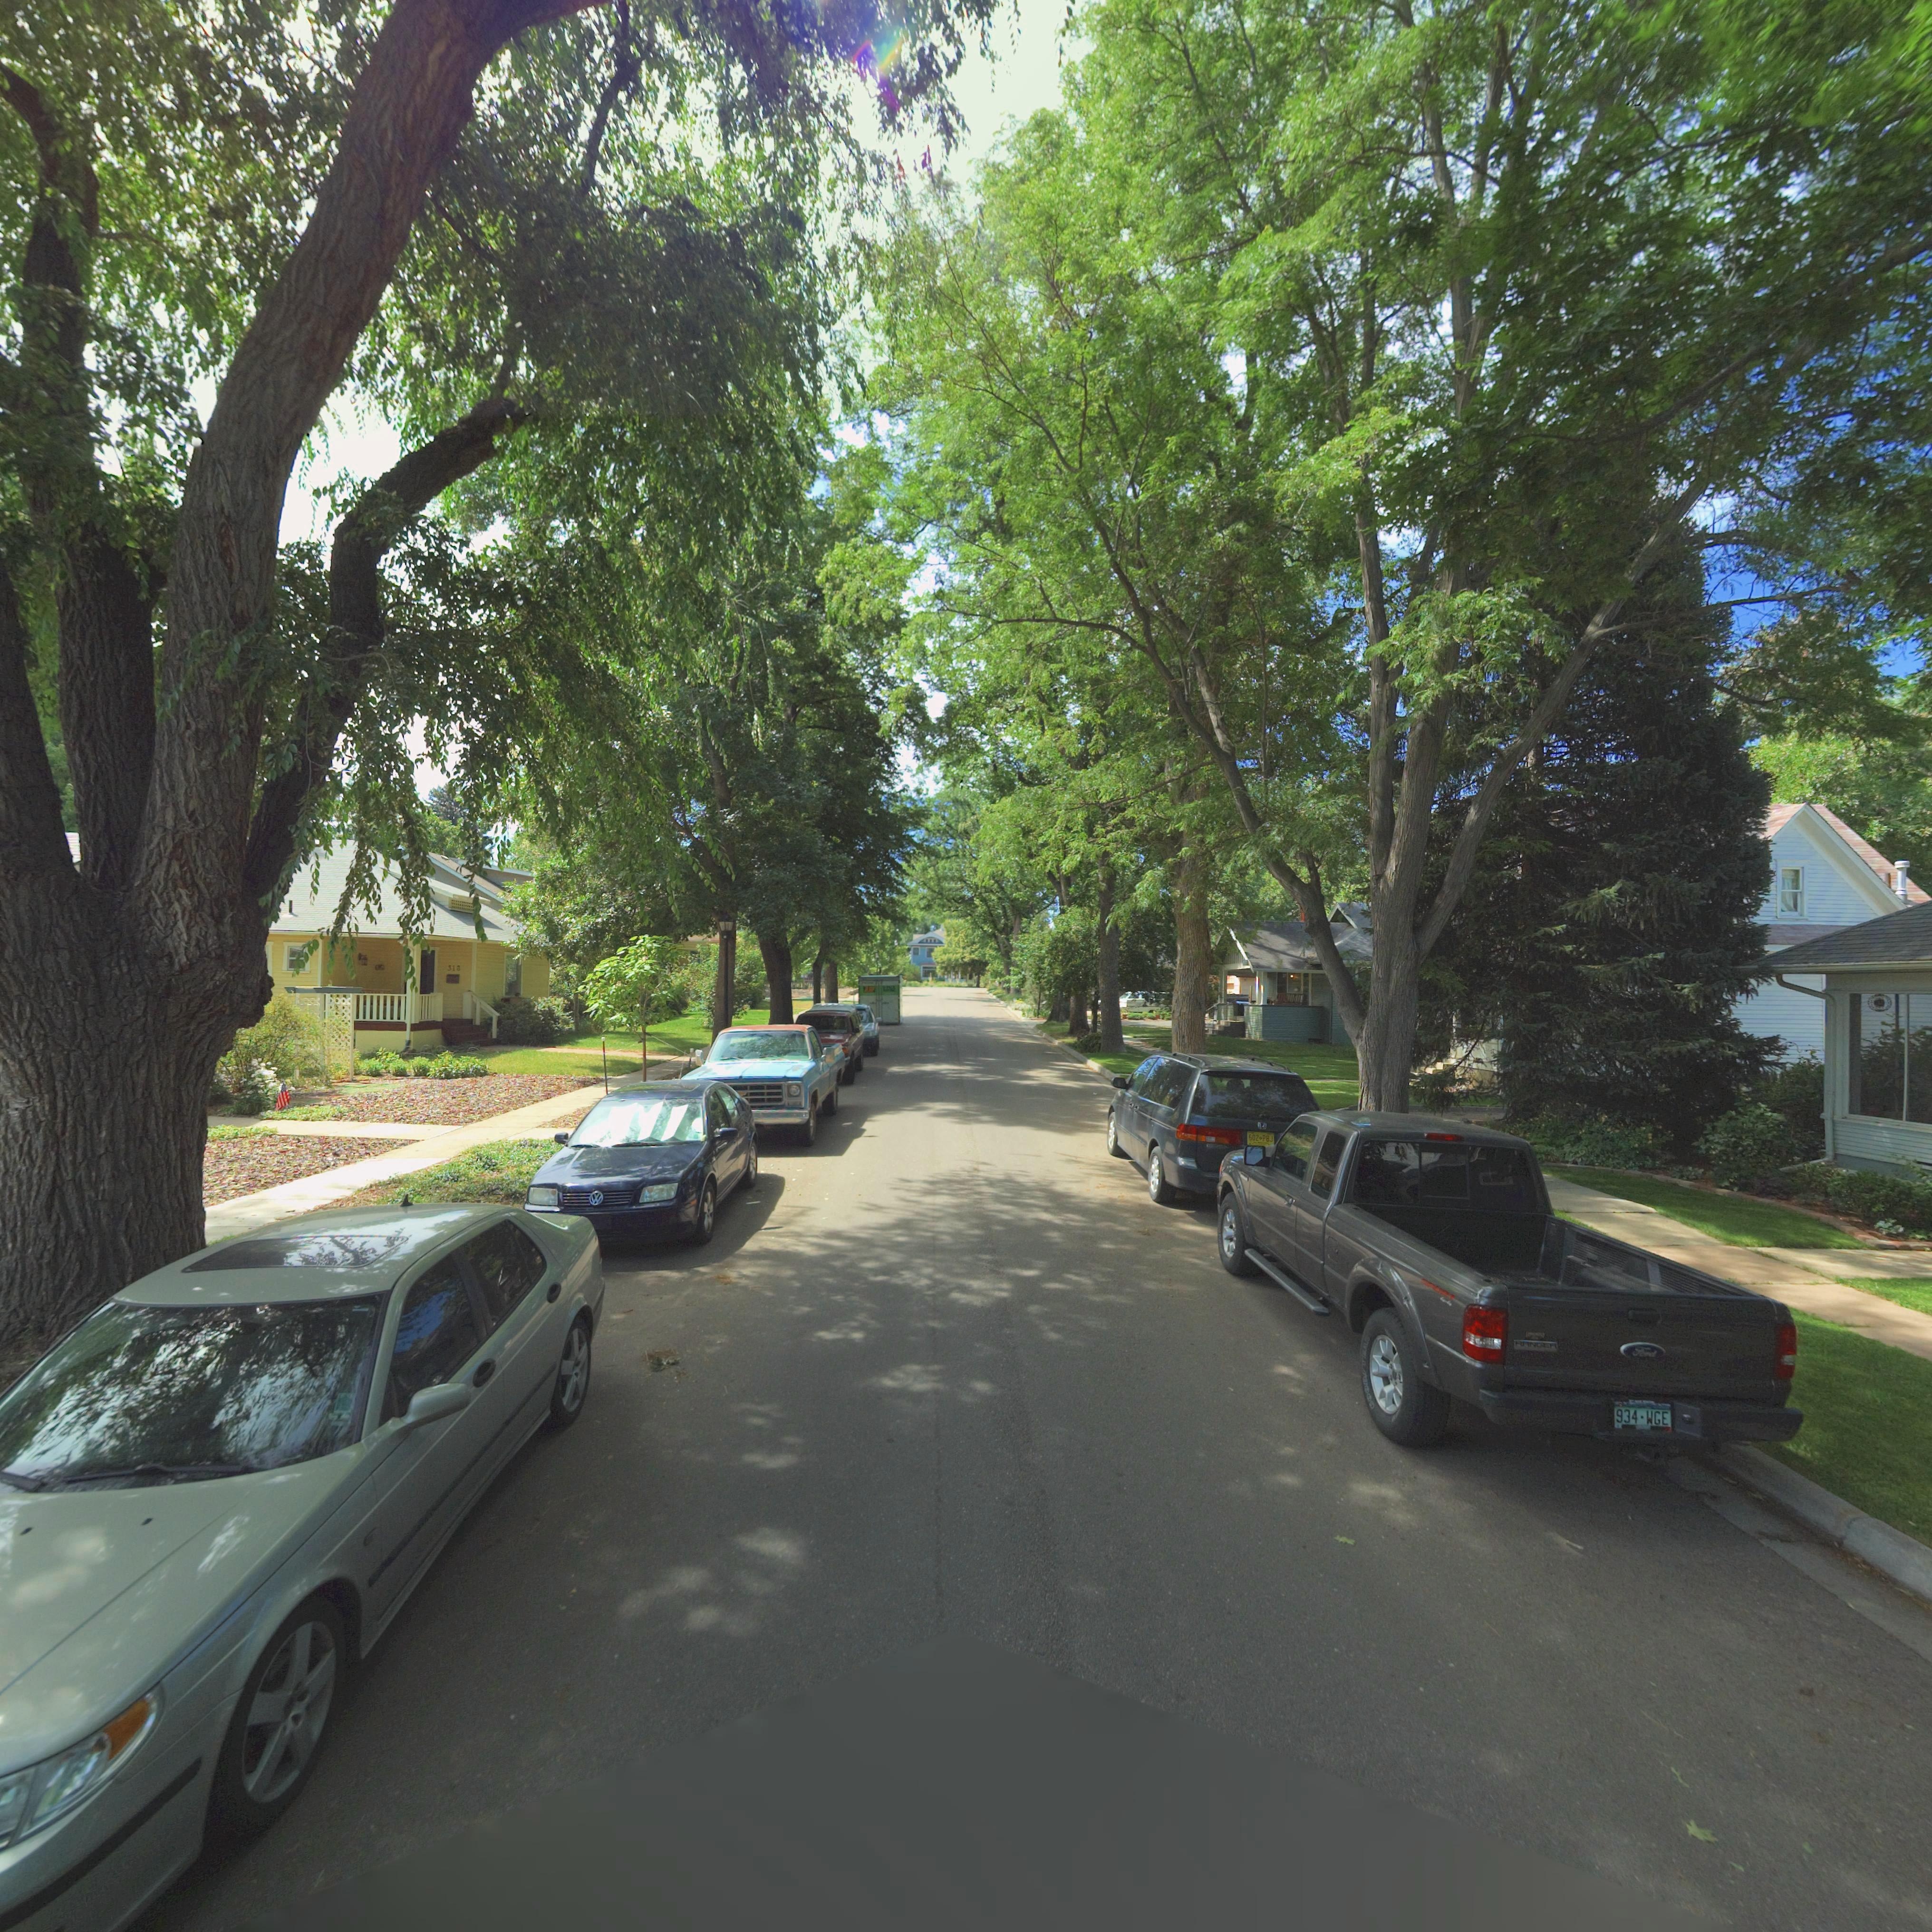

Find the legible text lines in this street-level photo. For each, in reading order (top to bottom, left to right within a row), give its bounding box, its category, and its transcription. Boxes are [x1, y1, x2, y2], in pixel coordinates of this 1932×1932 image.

[447, 965, 461, 971] StreetNumber: 318